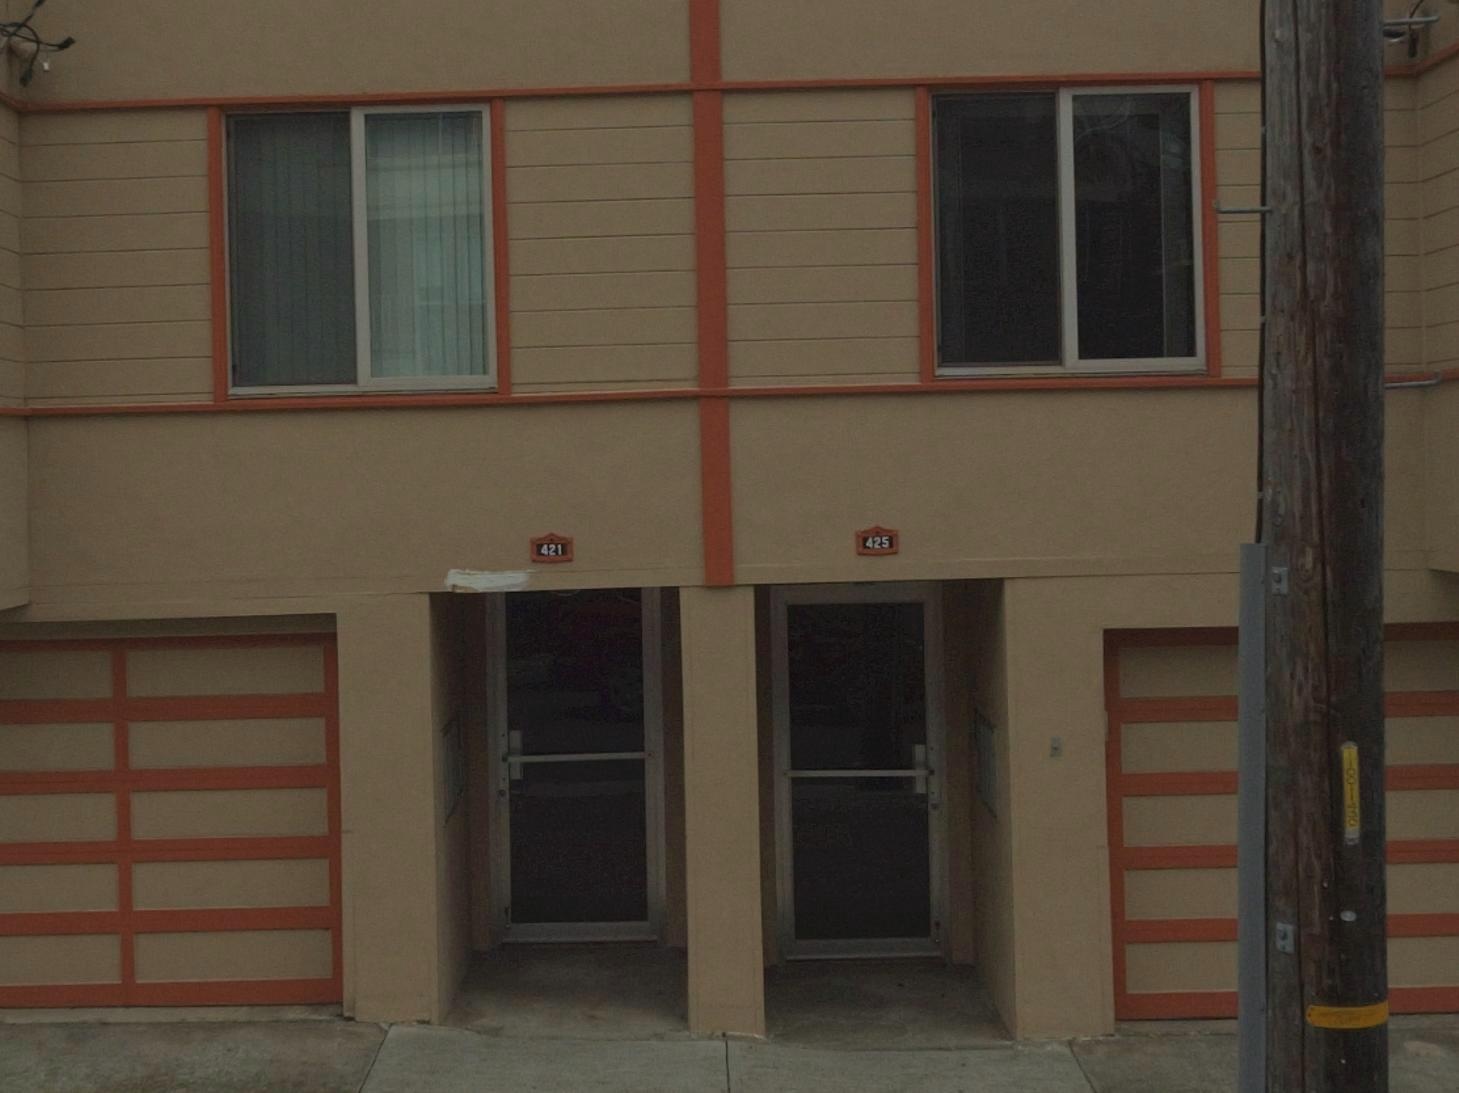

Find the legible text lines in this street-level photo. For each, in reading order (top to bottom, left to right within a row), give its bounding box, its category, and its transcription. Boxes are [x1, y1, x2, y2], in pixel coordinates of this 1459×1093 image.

[864, 535, 890, 549] StreetNumber: 425
[539, 543, 563, 556] StreetNumber: 421
[1344, 748, 1359, 828] None: 110011430